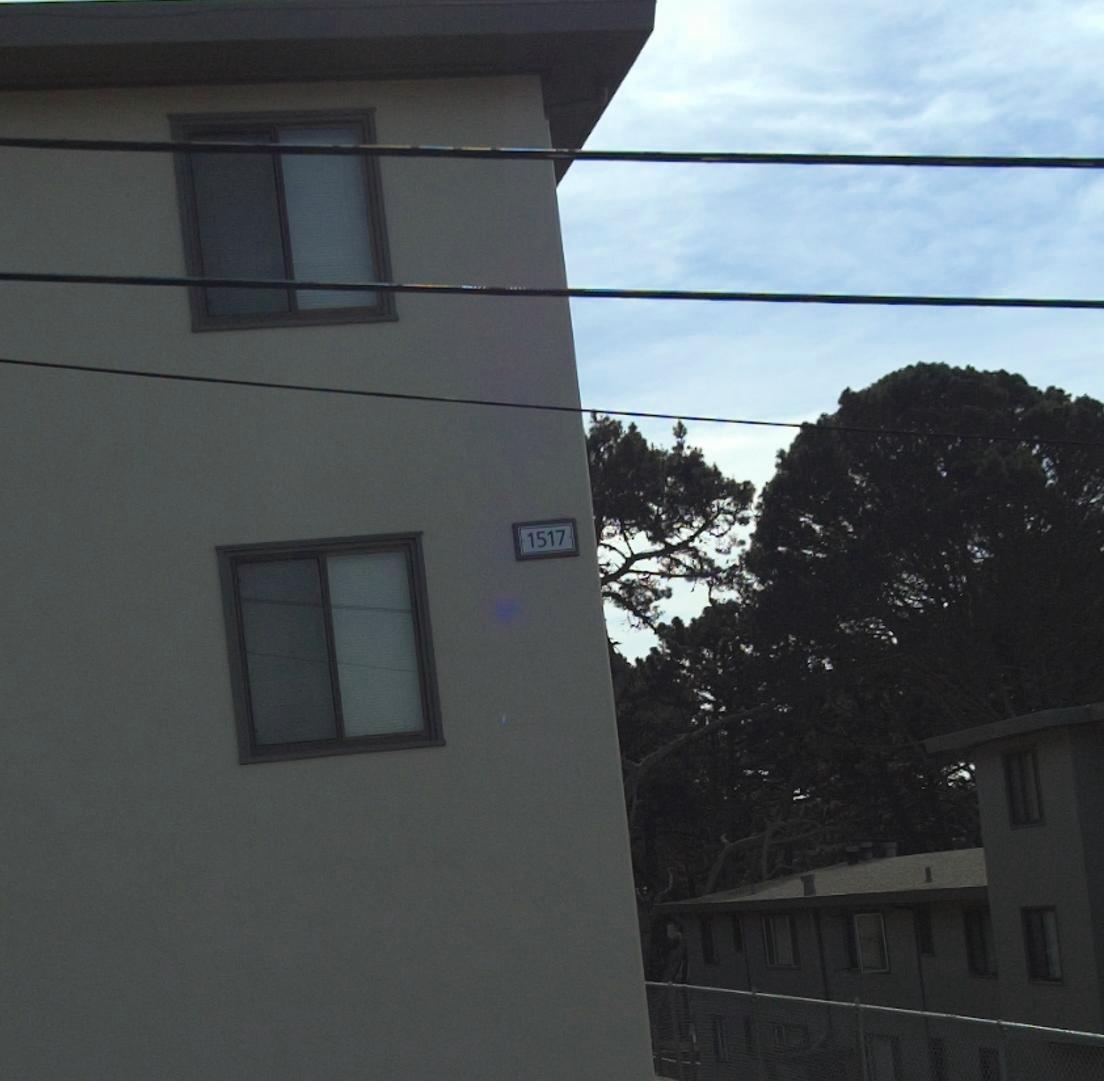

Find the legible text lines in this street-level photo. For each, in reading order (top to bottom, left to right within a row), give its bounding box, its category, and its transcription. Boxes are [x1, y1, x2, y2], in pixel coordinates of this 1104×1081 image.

[524, 526, 568, 551] StreetNumber: 1517